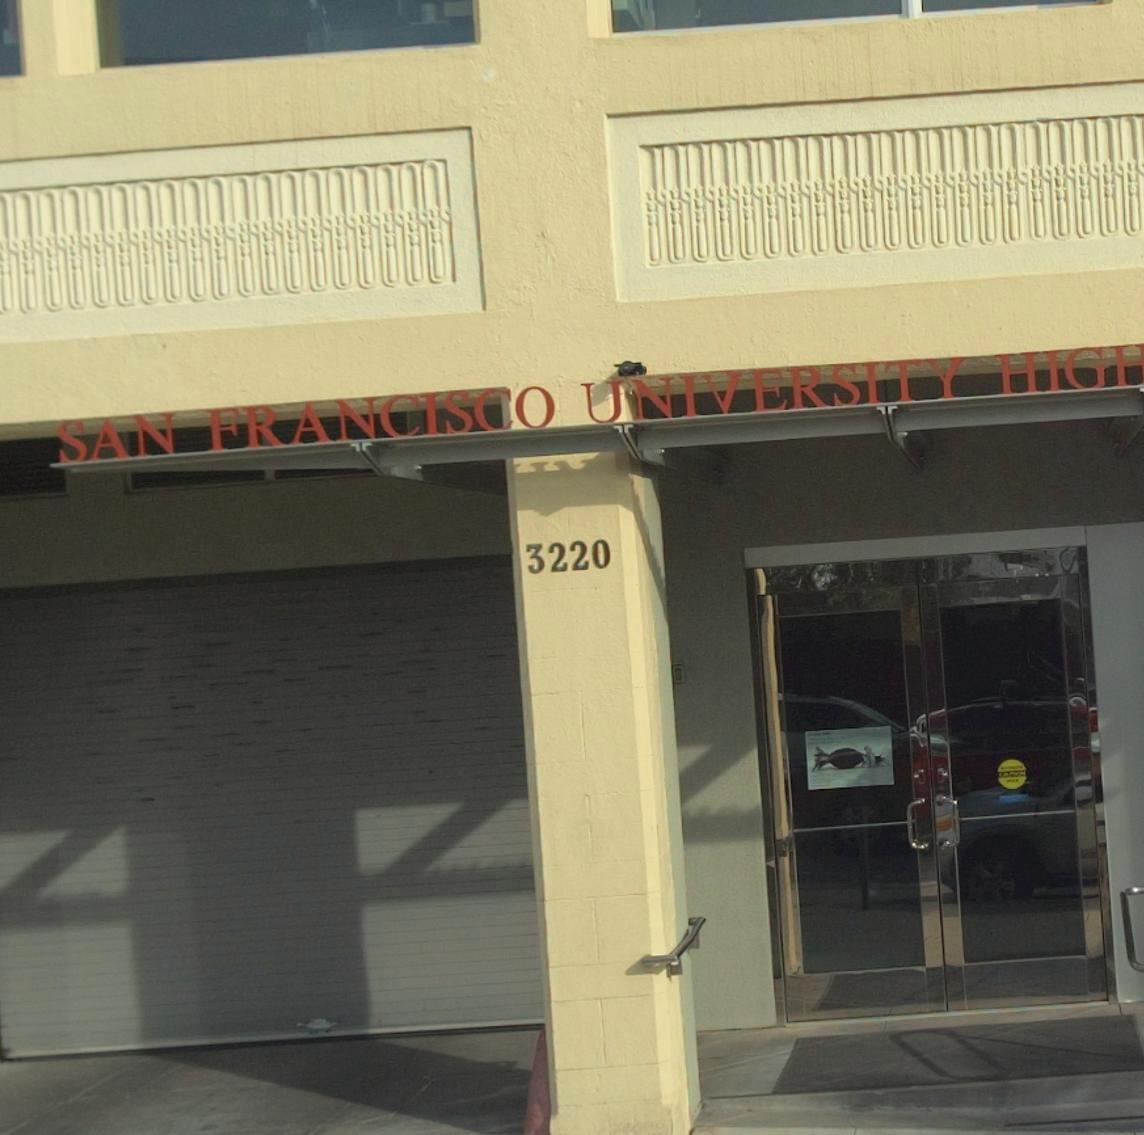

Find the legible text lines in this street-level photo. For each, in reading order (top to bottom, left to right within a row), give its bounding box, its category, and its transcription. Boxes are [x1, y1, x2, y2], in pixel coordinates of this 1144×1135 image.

[51, 342, 1112, 469] BusinessName: SAN FRANCISCO UNIVERSITY HIG
[522, 535, 614, 577] StreetNumber: 3220